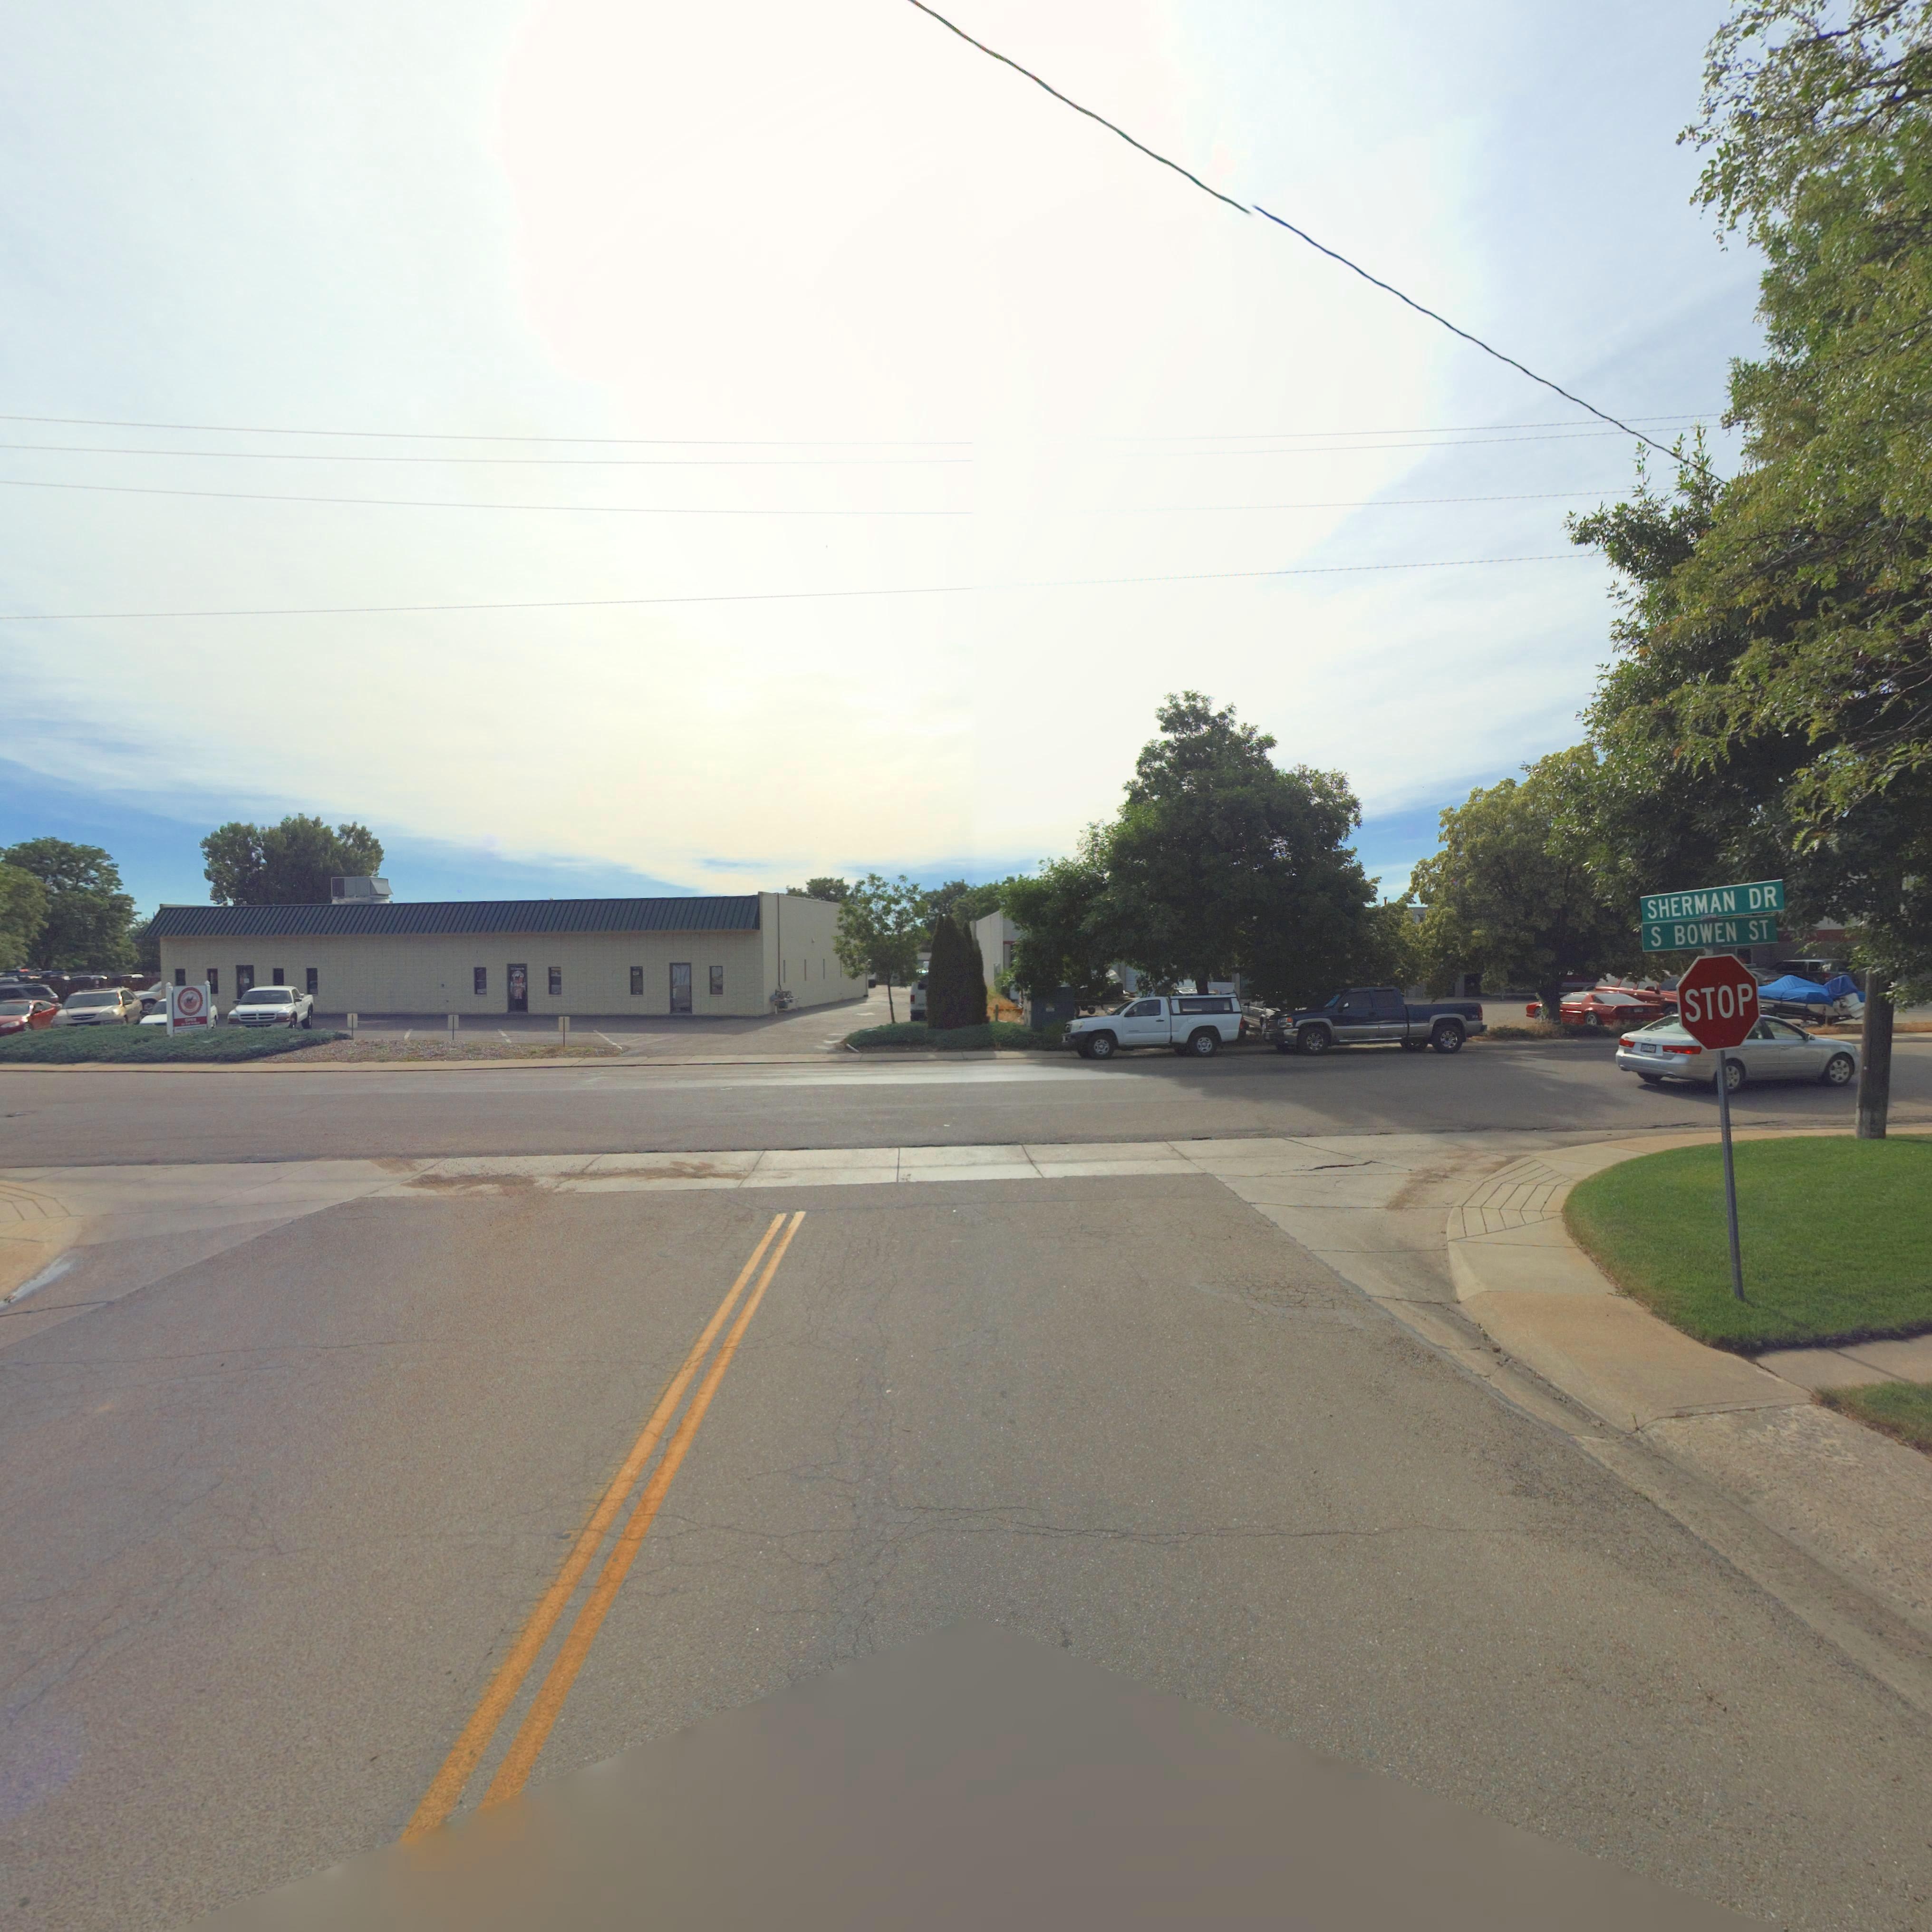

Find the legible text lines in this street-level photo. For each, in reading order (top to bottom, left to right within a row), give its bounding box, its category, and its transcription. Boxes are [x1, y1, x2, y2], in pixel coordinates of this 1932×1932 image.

[1646, 884, 1780, 920] StreetName: SHERMAN DR
[1651, 919, 1768, 946] StreetName: S BOWEN ST
[510, 966, 514, 970] StreetNumber: 1121
[514, 966, 525, 970] StreetName: C****** A**